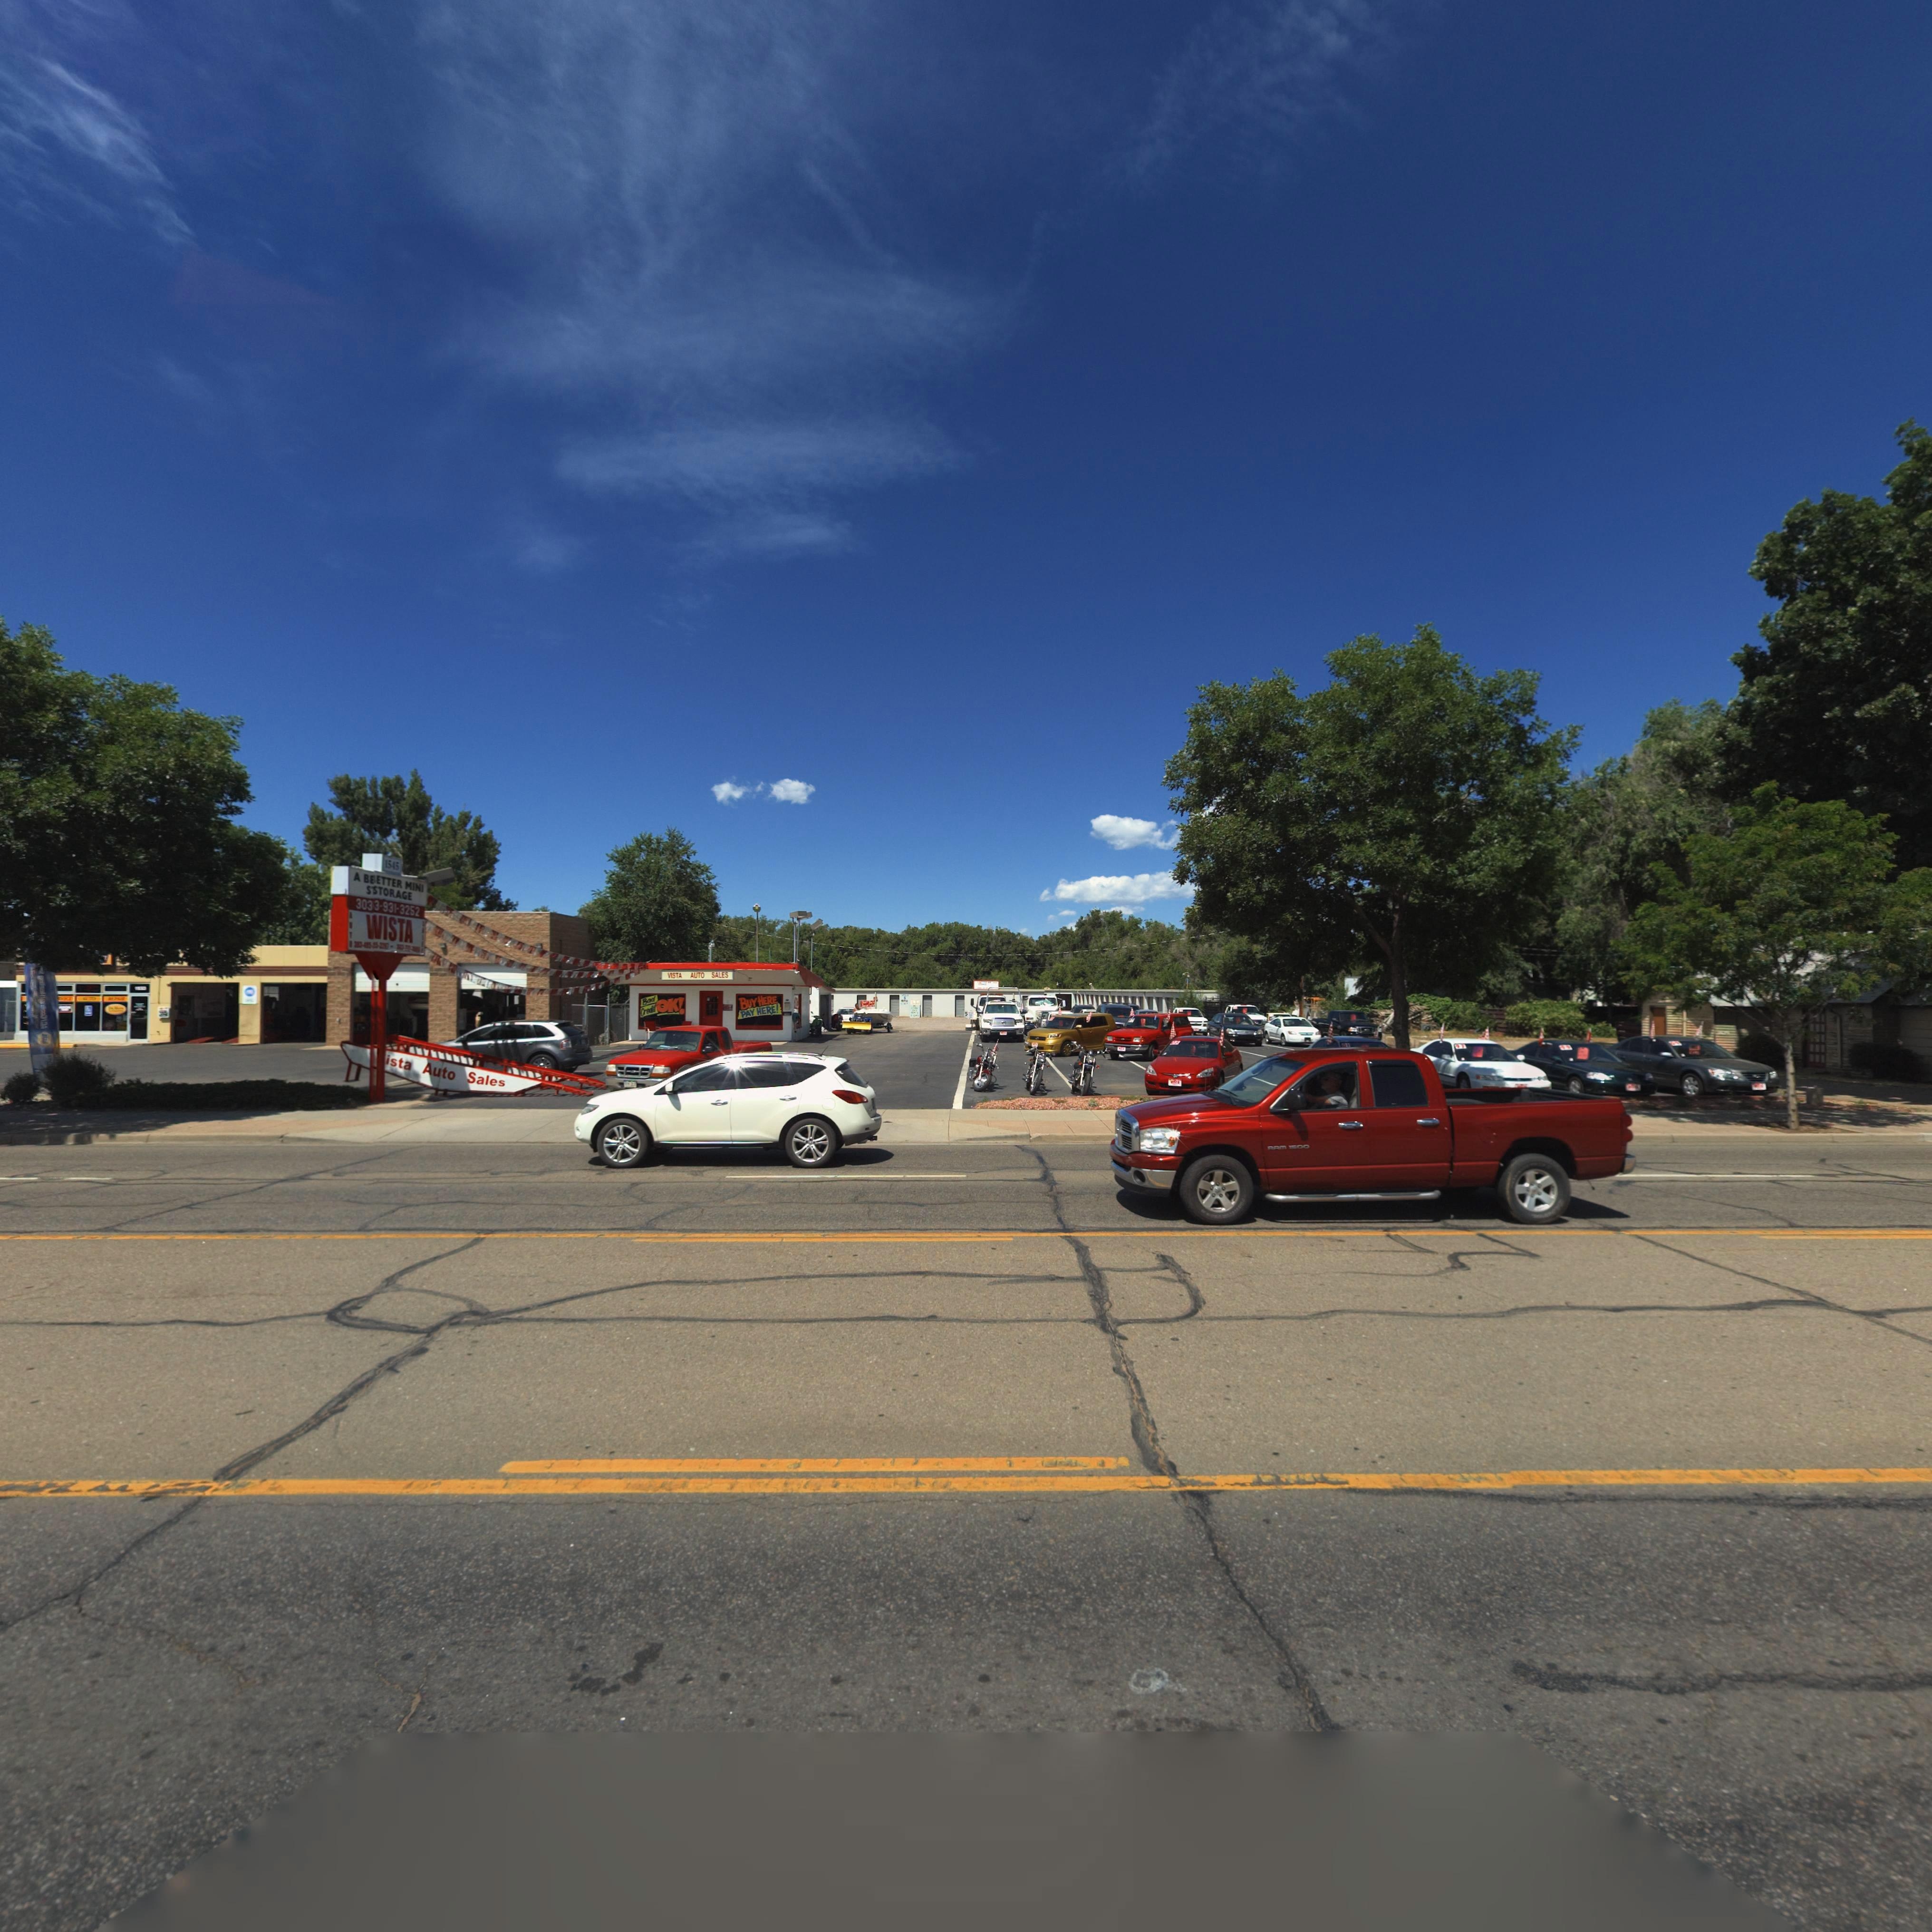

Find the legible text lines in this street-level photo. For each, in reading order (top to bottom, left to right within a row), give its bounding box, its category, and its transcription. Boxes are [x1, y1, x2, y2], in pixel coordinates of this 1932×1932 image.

[384, 859, 400, 870] StreetNumber: 1545
[352, 870, 424, 893] BusinessName: A BE*ETTER MINI
[365, 885, 413, 901] BusinessName: S*STORAGE
[348, 911, 353, 948] BusinessName: **T*
[366, 913, 413, 944] BusinessName: WISTA
[667, 971, 728, 978] BusinessName: VISTA AUTO SALES
[384, 1054, 506, 1087] BusinessName: ista Auto Sales